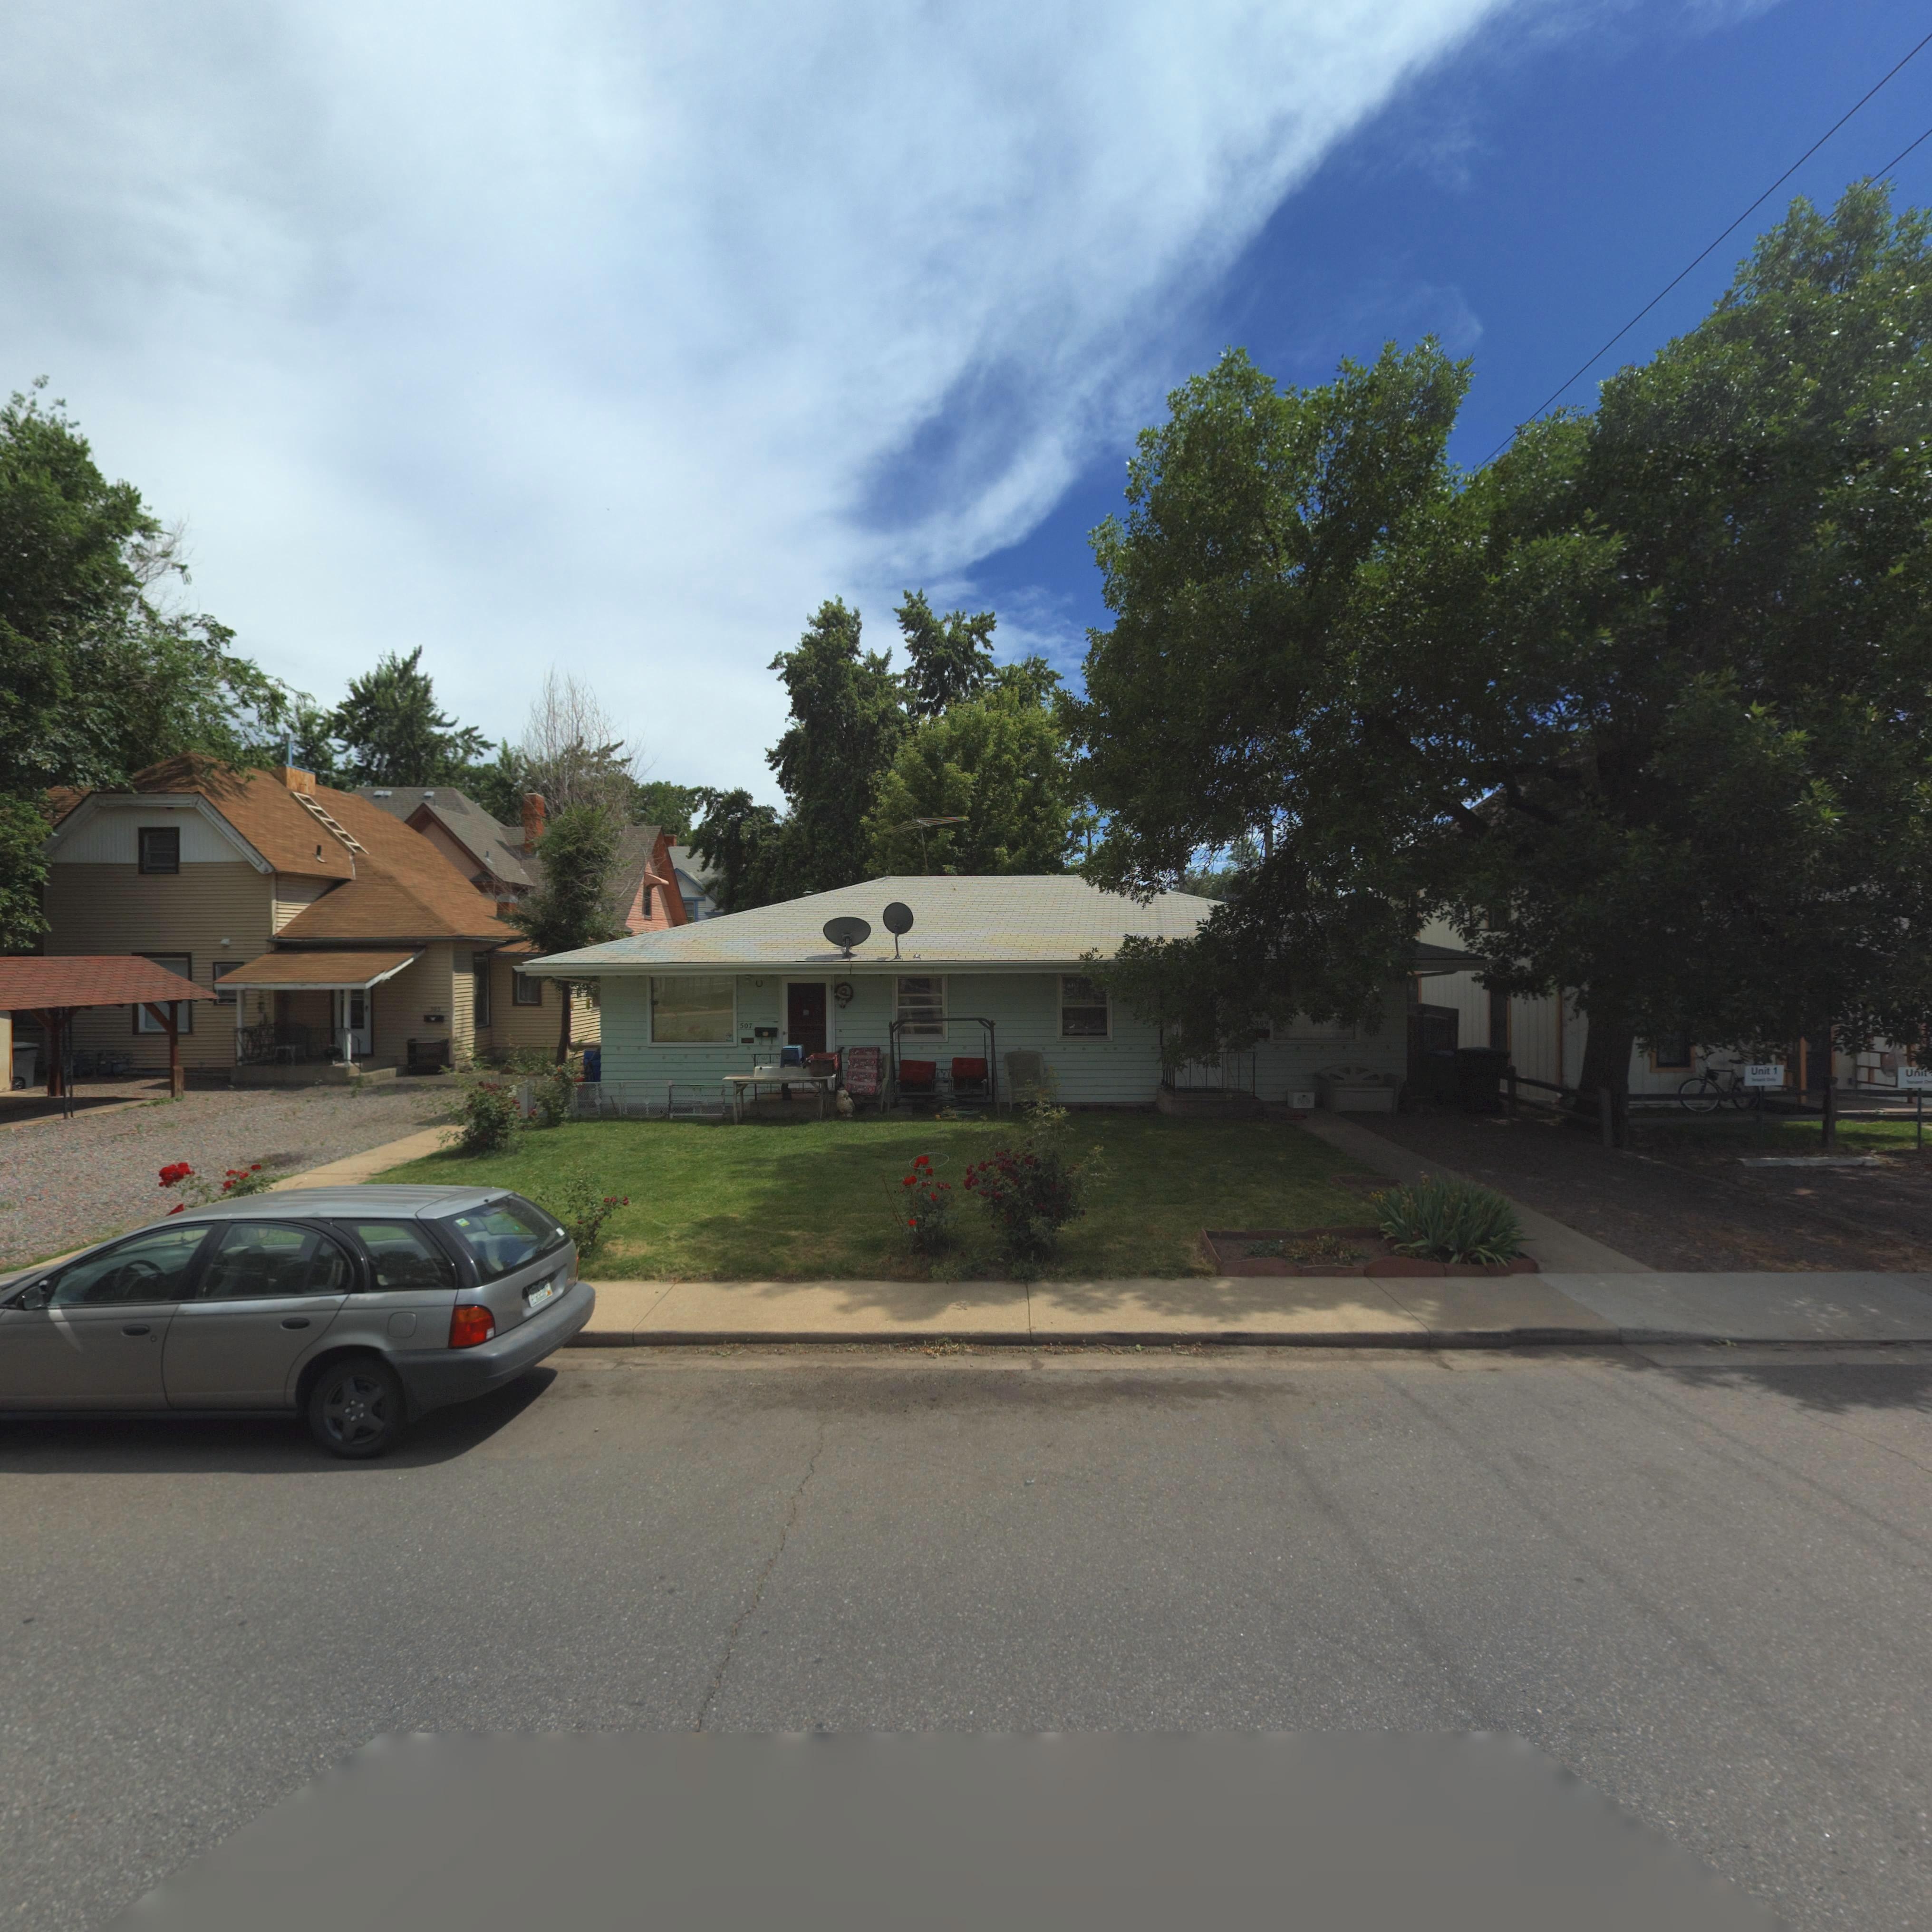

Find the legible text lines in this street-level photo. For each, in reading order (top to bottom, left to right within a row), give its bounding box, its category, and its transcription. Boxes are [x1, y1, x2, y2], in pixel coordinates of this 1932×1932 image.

[430, 1006, 442, 1012] StreetNumber: **5
[739, 1022, 753, 1029] StreetNumber: 507
[1254, 1020, 1269, 1029] StreetNumber: 509
[1750, 1066, 1778, 1075] SecondaryUnitDesignator: Unit 1
[1905, 1068, 1927, 1077] StreetNumberRange: Unit